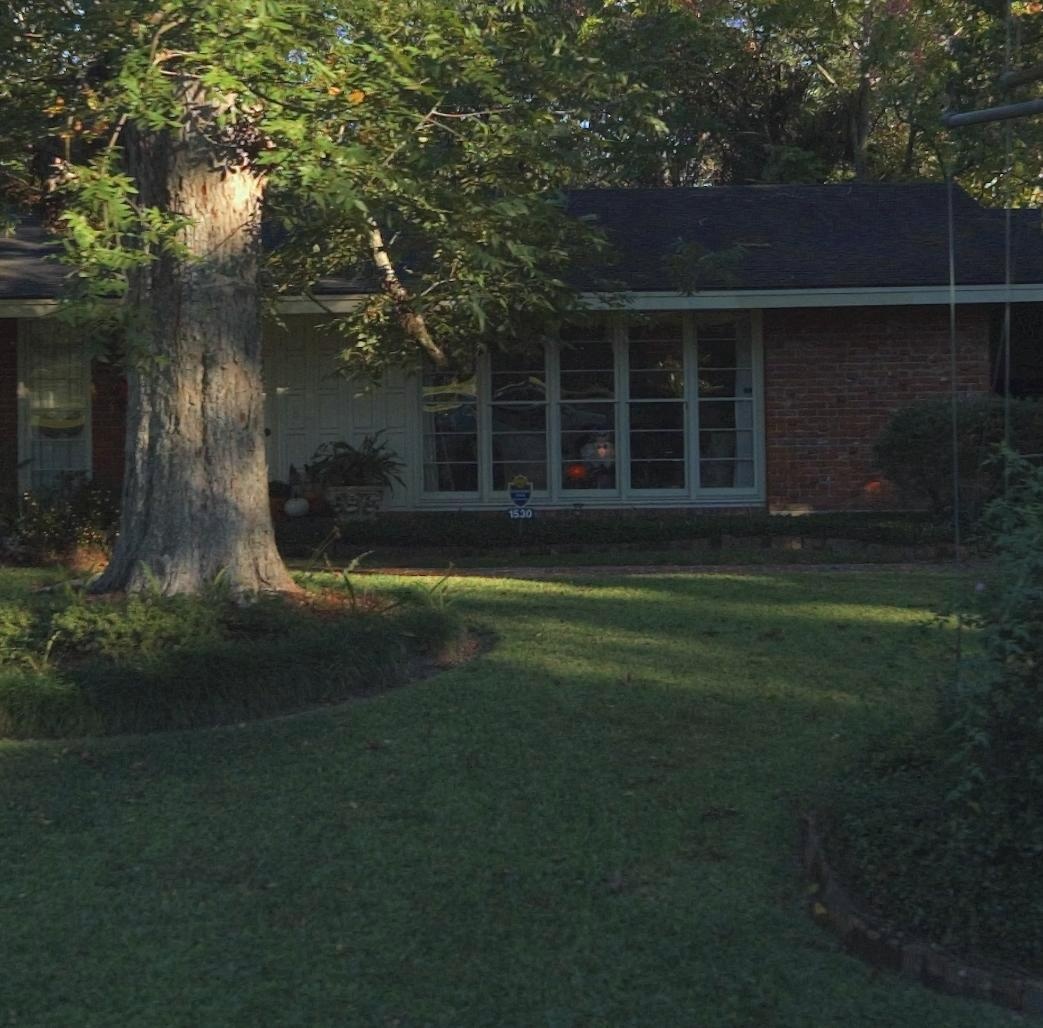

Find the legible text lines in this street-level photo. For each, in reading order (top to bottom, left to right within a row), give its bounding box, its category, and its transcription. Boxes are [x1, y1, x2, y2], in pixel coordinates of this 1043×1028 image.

[507, 507, 534, 520] StreetNumber: 1530